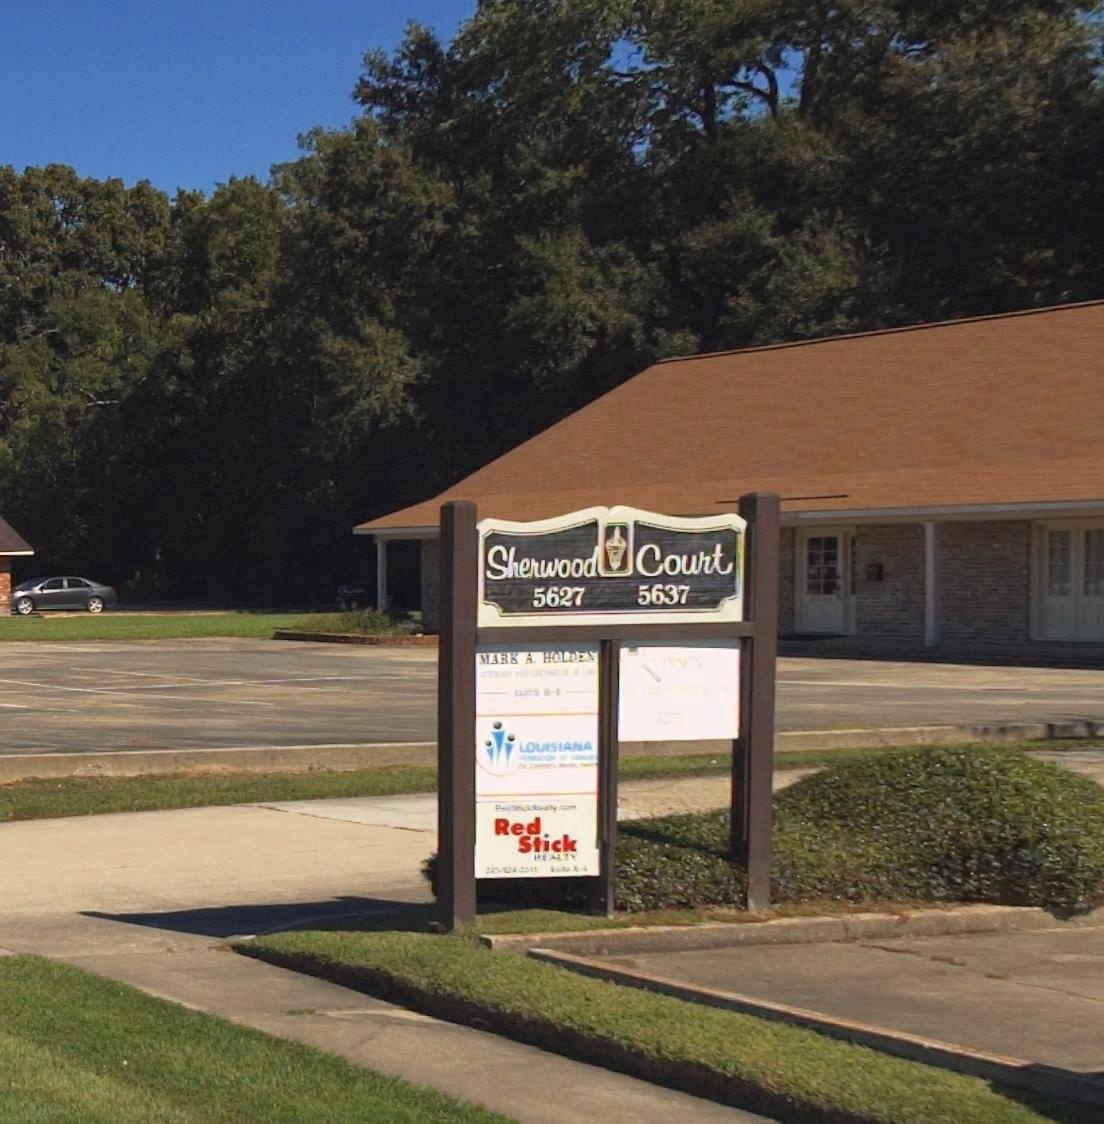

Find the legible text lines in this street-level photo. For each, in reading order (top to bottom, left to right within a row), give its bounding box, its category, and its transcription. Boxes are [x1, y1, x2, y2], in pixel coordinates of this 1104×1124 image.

[484, 540, 737, 582] BusinessName: Sherwood * Court
[530, 581, 694, 610] StreetNumber: 5627 5637
[477, 648, 600, 667] None: MARK A. HOLDEN
[516, 738, 596, 755] None: LOUISIANA
[491, 814, 545, 838] BusinessName: Red
[515, 832, 582, 856] BusinessName: Stick